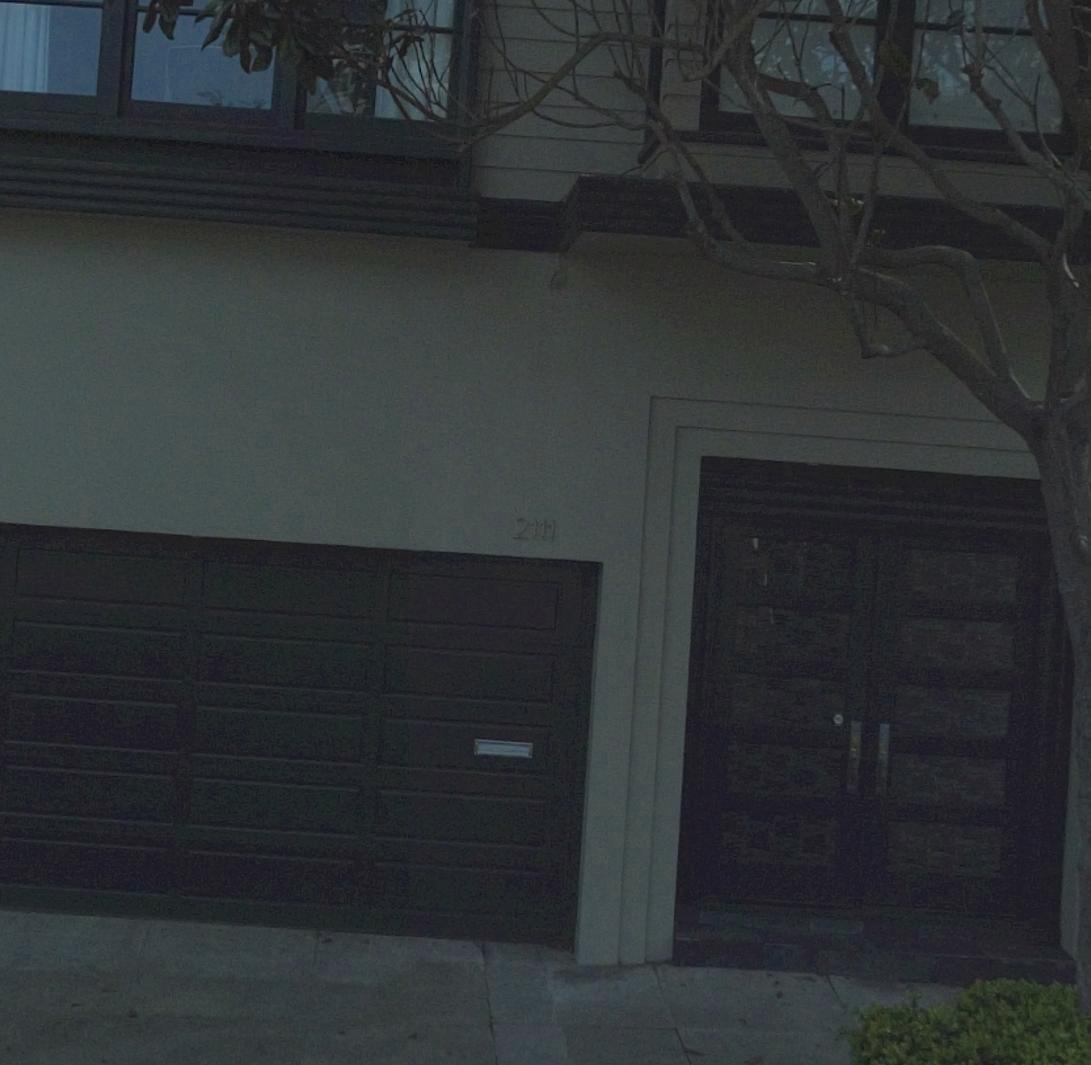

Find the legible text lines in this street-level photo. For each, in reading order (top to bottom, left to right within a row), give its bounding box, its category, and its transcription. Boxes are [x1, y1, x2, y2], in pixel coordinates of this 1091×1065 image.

[508, 514, 558, 546] StreetNumber: 2111